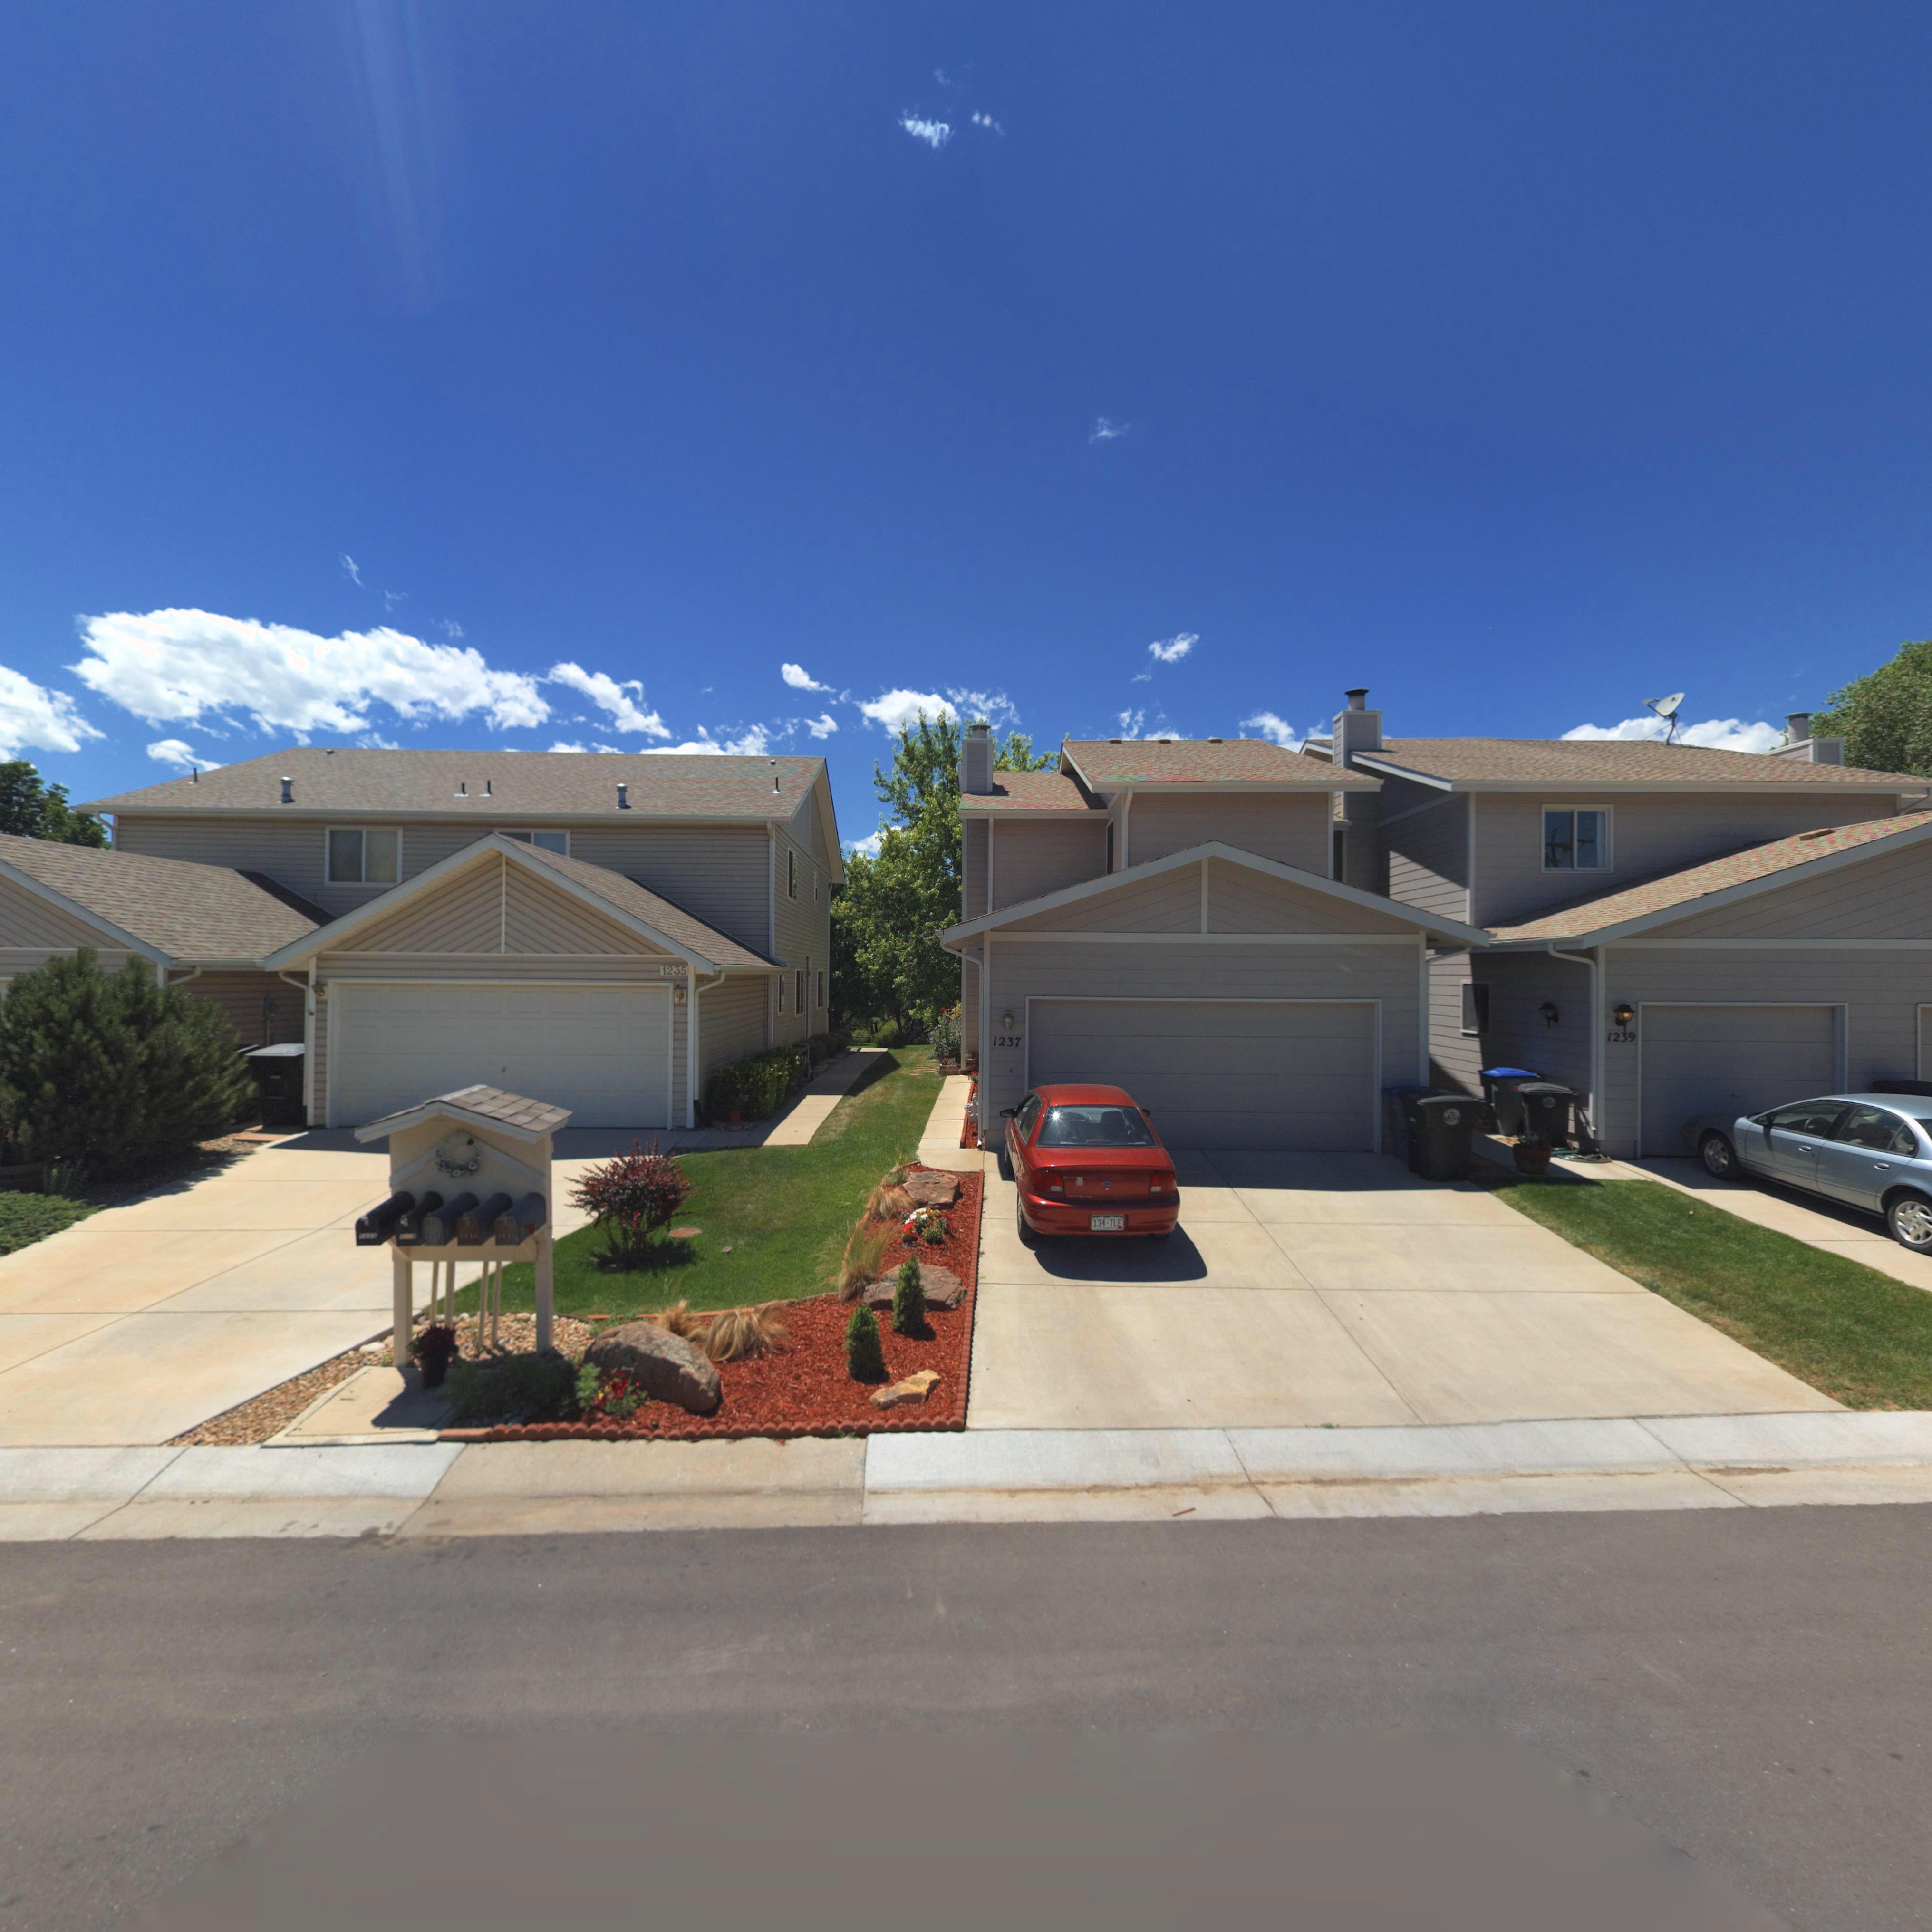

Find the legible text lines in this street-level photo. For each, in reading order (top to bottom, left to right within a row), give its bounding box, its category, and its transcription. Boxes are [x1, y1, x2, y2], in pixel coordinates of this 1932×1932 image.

[662, 966, 686, 975] StreetNumber: 1235
[993, 1036, 1022, 1048] StreetNumber: 1237
[1606, 1031, 1636, 1043] StreetNumber: 1239